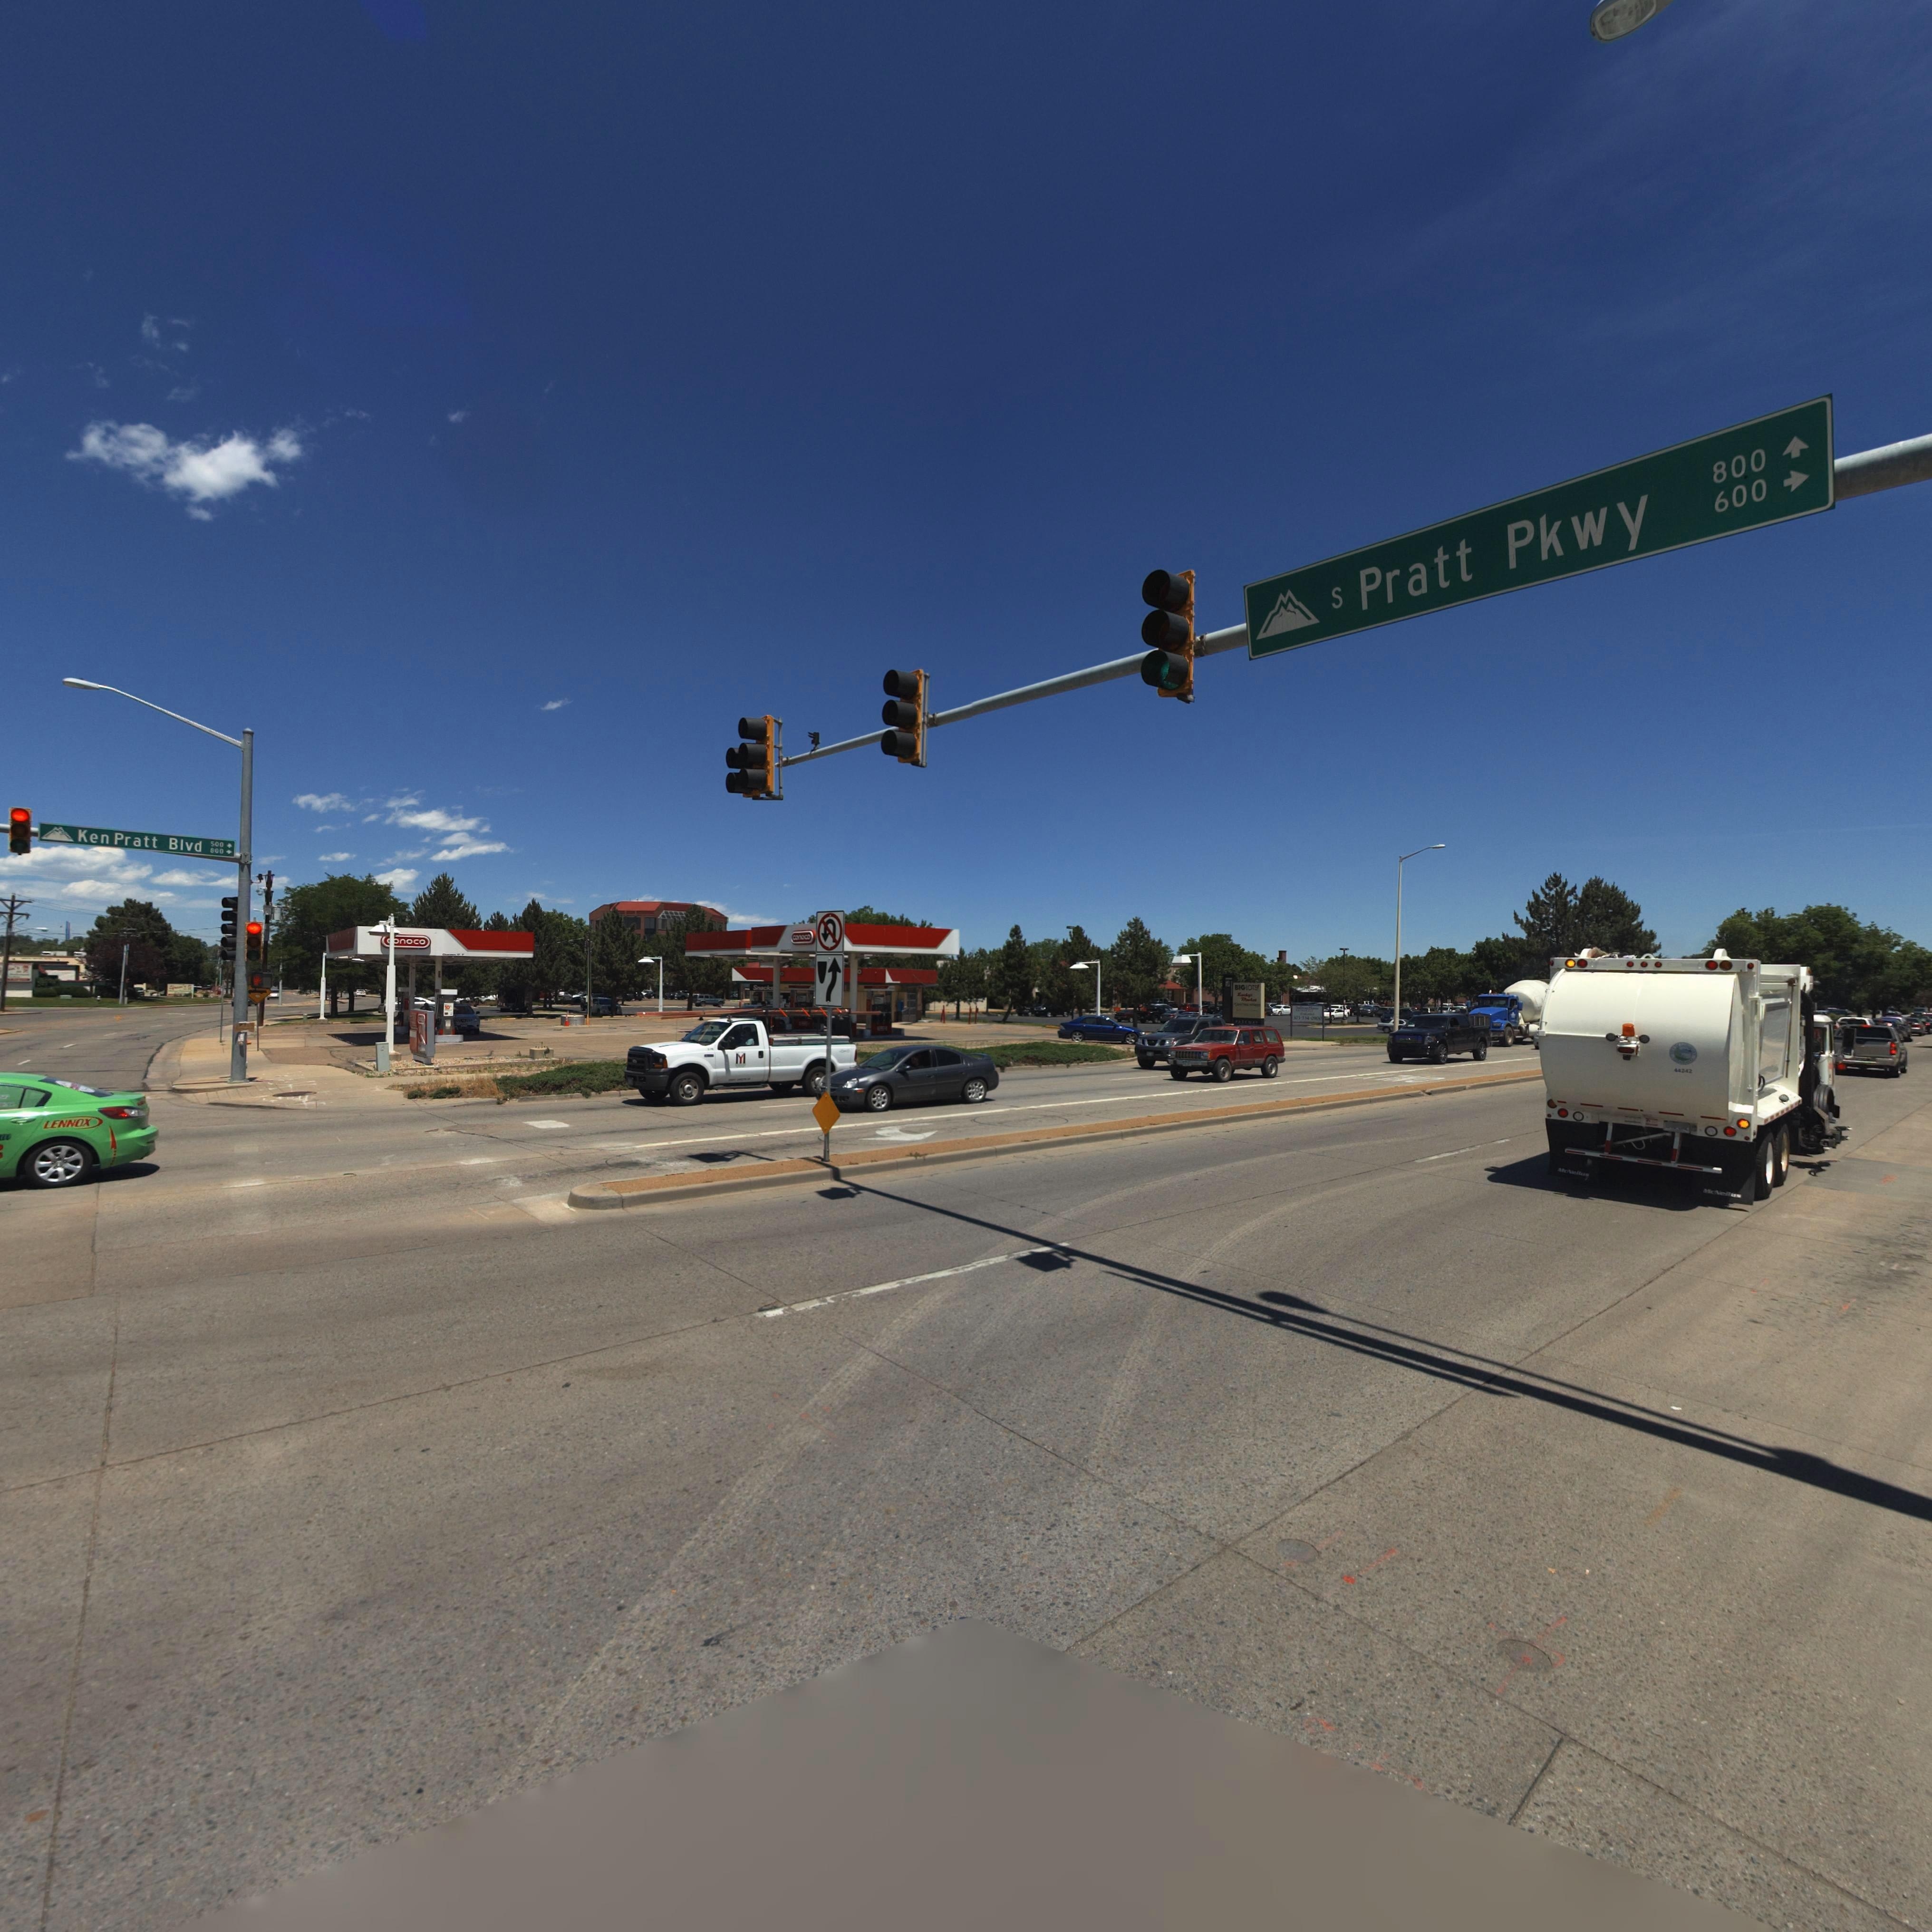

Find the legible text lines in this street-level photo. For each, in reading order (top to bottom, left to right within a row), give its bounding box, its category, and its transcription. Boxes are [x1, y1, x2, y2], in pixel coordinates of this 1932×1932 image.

[1711, 446, 1768, 485] StreetNumberRange: 800
[1711, 468, 1814, 514] StreetNumberRange: 600->
[1330, 491, 1651, 612] StreetName: s Pratt Pkwy
[78, 828, 203, 852] StreetName: Ken Pratt Blvd
[210, 840, 224, 848] StreetNumberRange: 500
[210, 847, 233, 854] StreetNumberRange: 800->
[792, 934, 811, 940] BusinessName: conoco
[386, 937, 426, 945] BusinessName: **noco
[1234, 984, 1257, 991] BusinessName: BIGLOTS